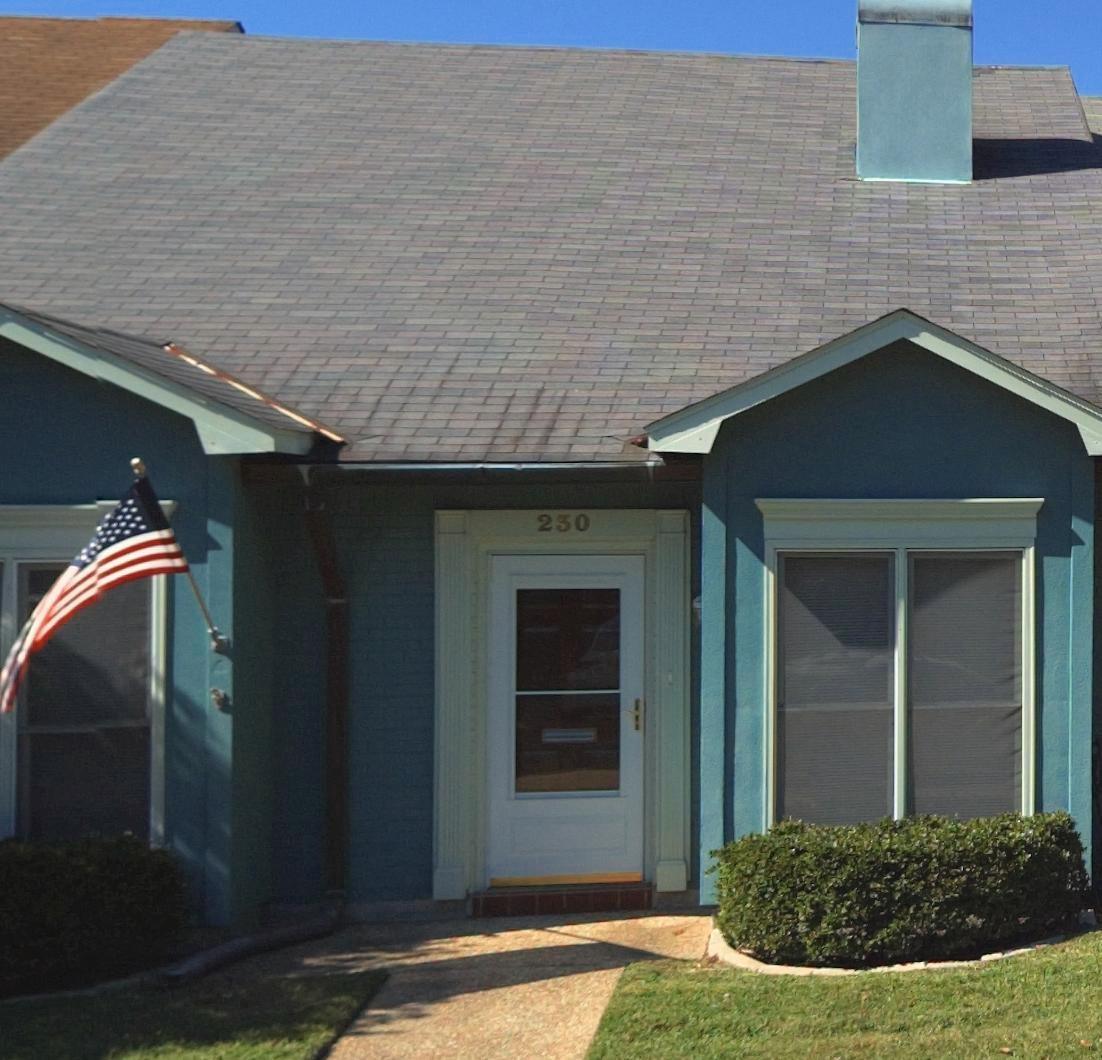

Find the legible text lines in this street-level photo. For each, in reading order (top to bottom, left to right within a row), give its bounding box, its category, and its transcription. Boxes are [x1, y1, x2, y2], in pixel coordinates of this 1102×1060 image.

[535, 512, 592, 534] StreetNumber: 230